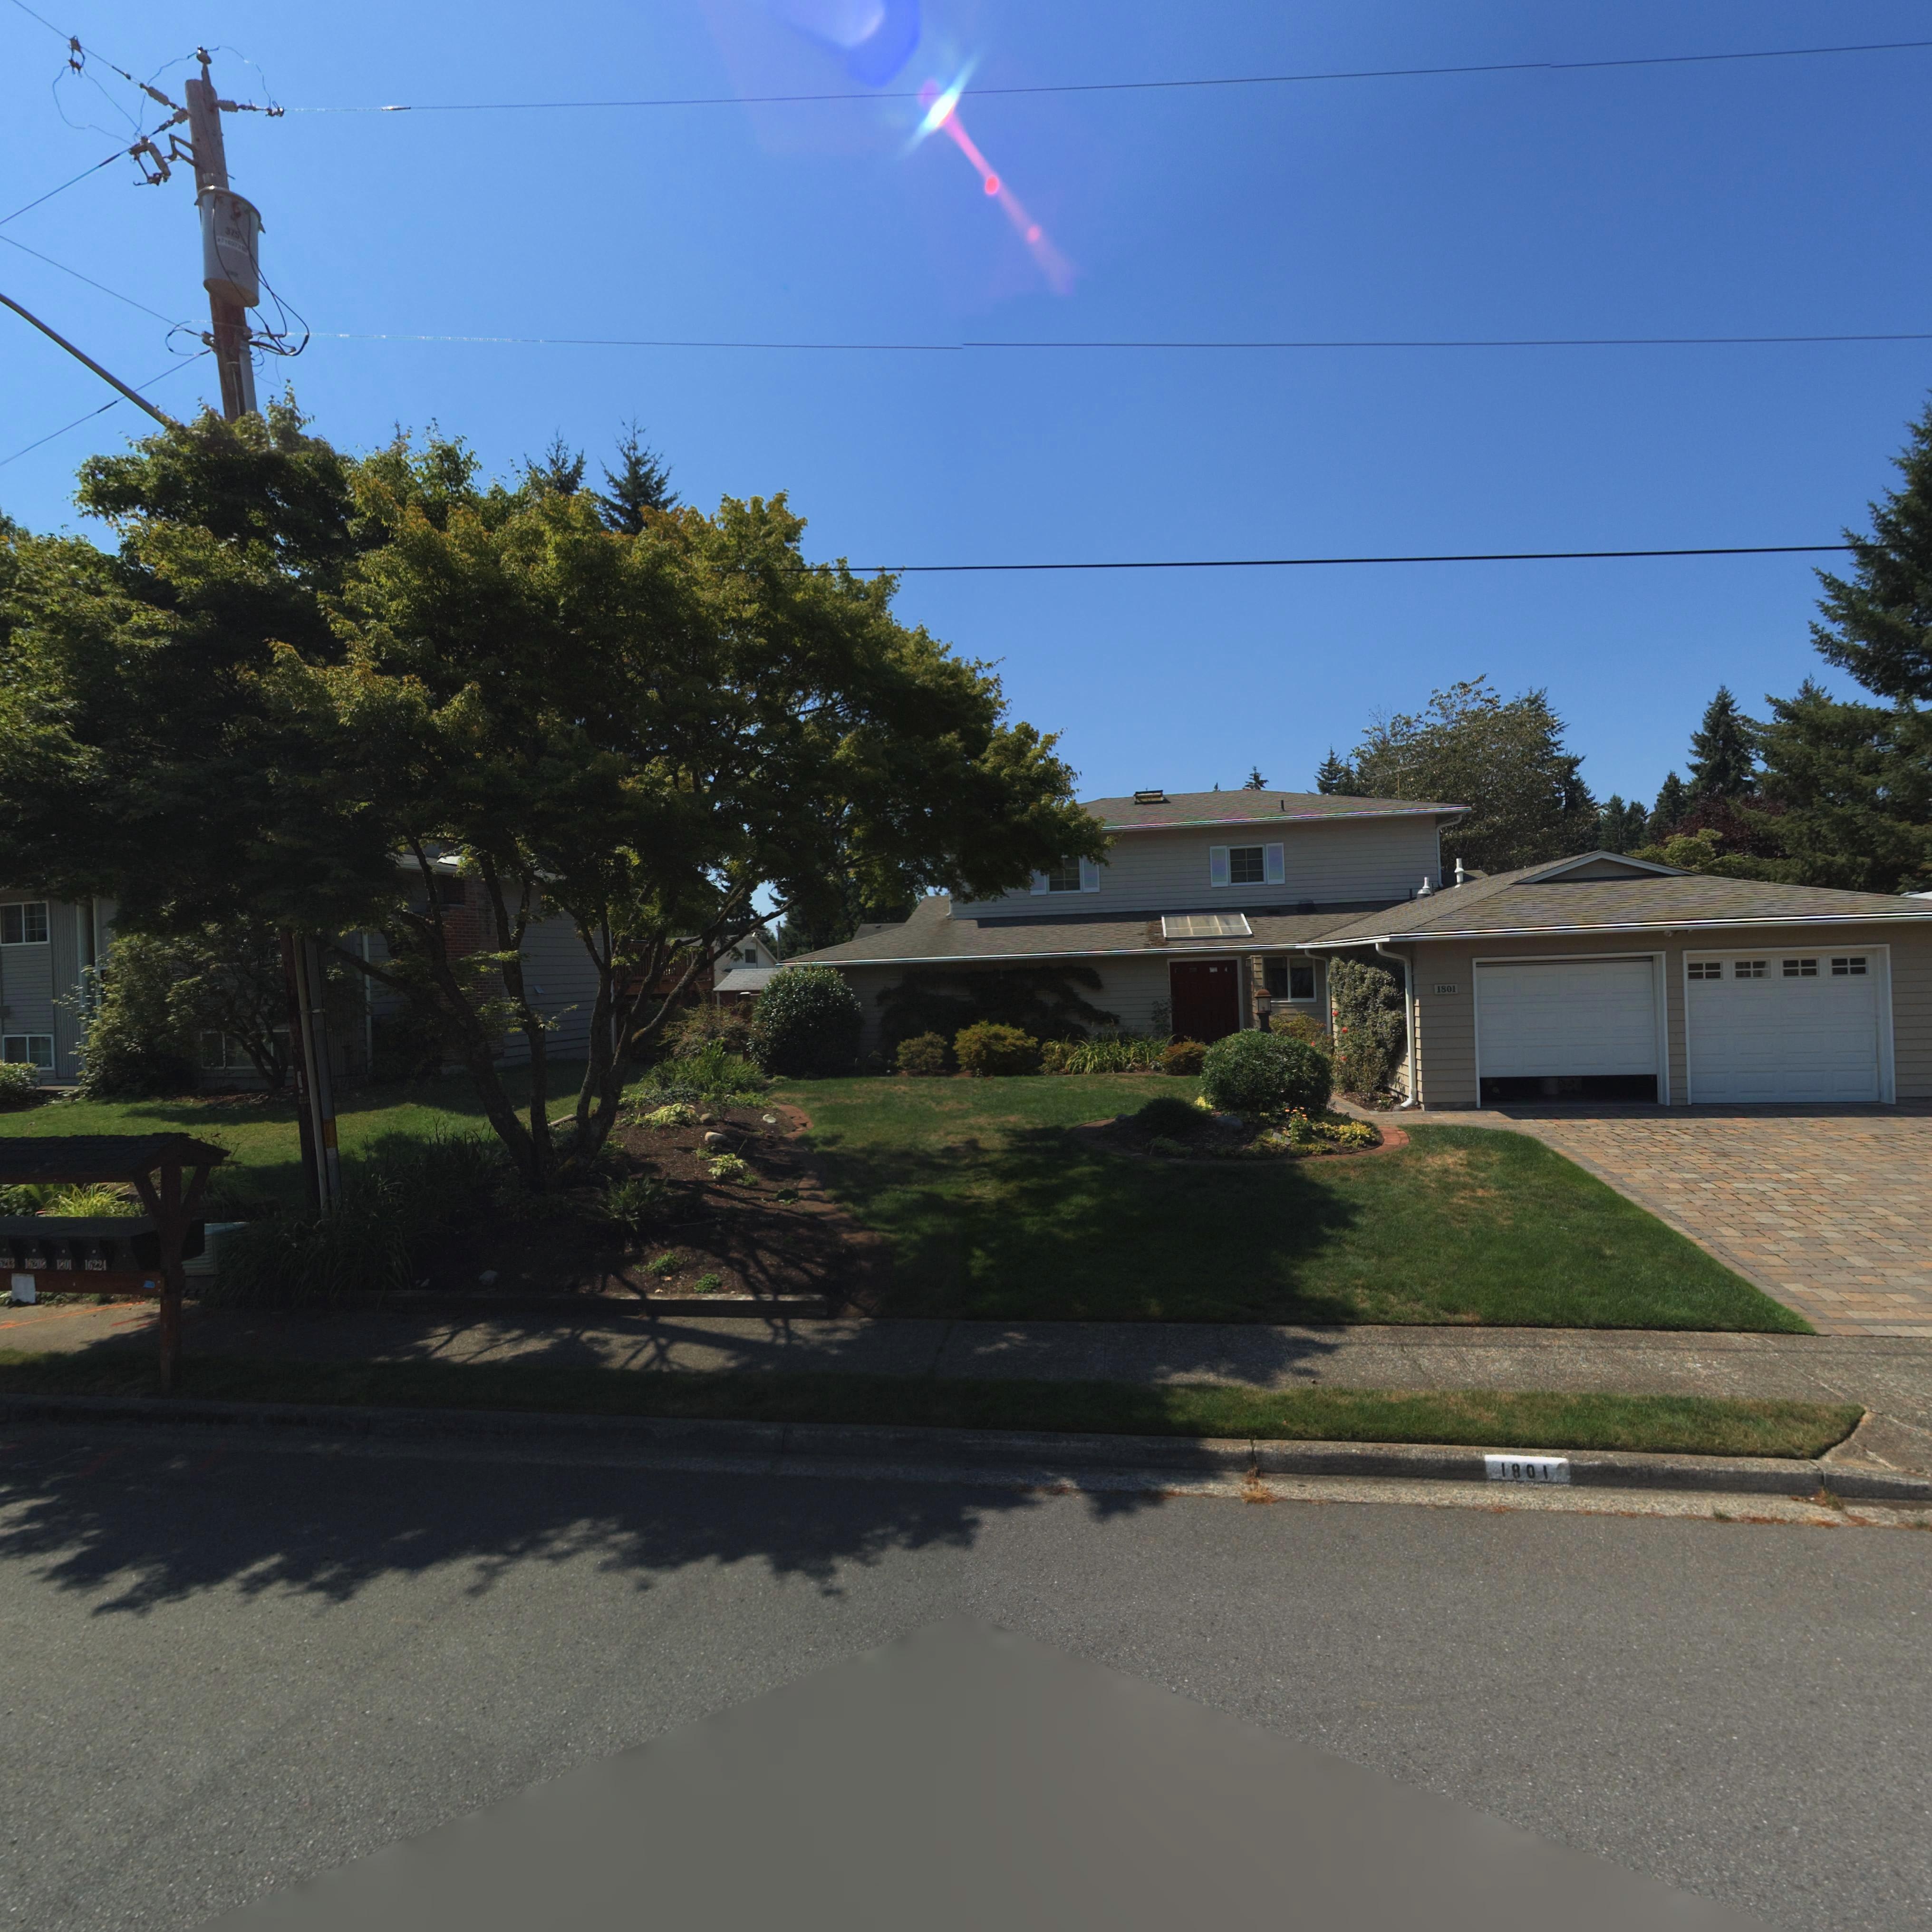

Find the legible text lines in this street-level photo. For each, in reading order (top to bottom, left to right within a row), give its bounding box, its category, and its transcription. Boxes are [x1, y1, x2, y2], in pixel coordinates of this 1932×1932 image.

[1437, 984, 1456, 993] StreetNumber: 1801
[24, 1257, 47, 1270] StreetNumber: 16208
[56, 1257, 72, 1270] StreetNumber: **01
[84, 1259, 106, 1270] StreetNumber: 16224
[1500, 1462, 1549, 1481] StreetNumber: 1801